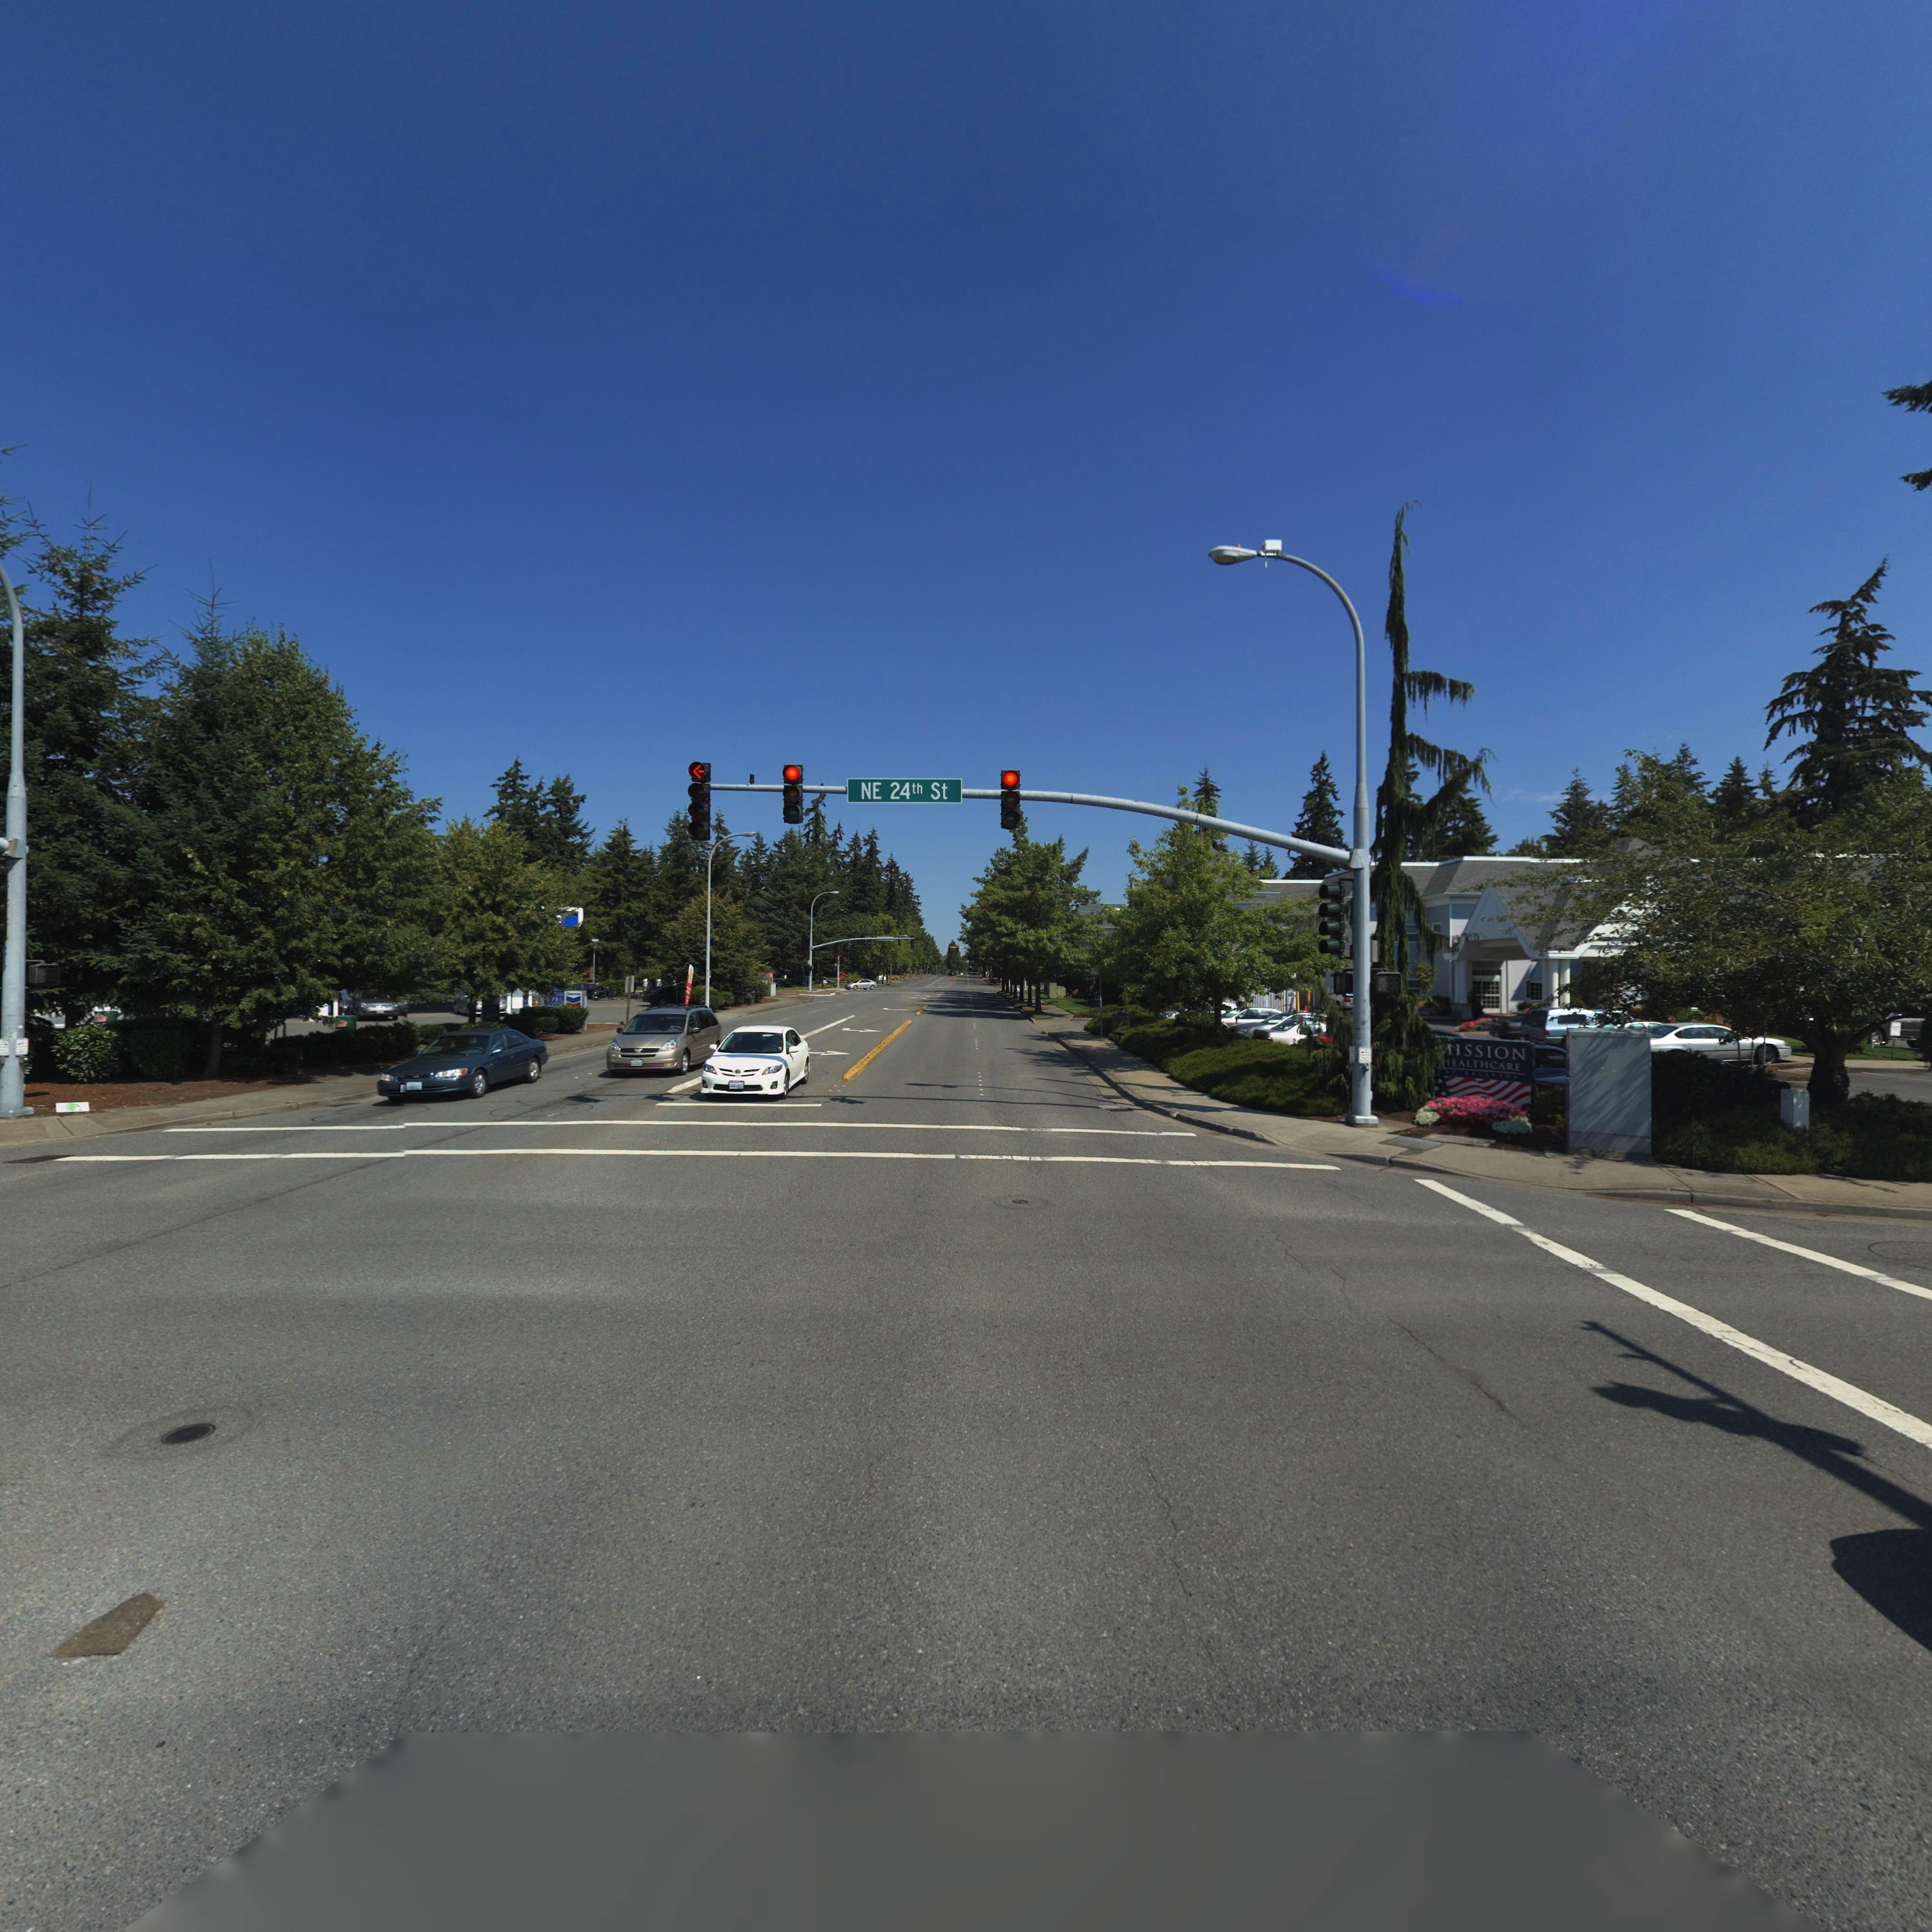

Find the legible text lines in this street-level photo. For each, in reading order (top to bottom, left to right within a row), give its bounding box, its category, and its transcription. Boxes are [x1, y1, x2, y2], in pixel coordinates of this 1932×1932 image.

[860, 781, 949, 801] StreetName: NE 24th St
[1445, 1042, 1526, 1062] BusinessName: *ISSION
[1447, 1058, 1520, 1072] BusinessName: *EALTHCARE